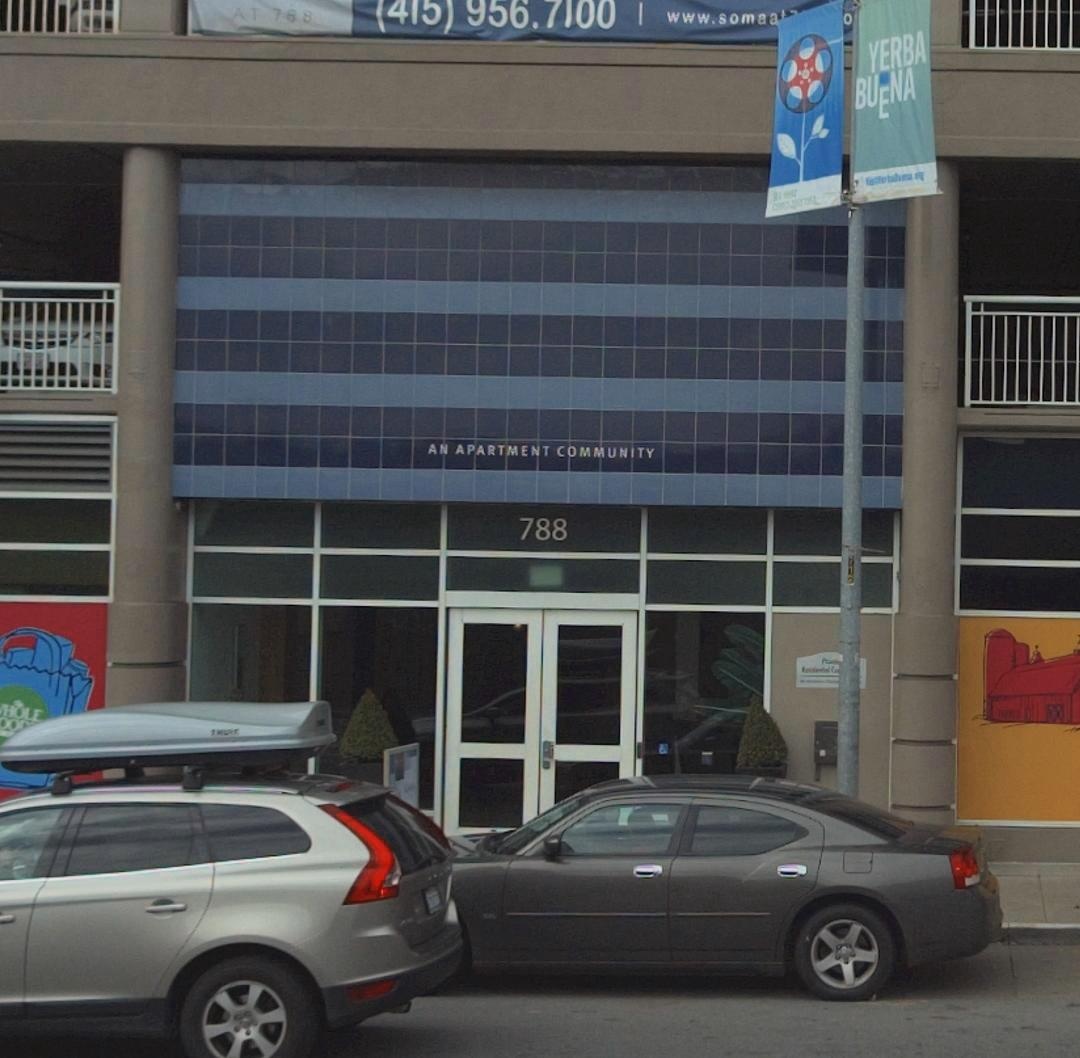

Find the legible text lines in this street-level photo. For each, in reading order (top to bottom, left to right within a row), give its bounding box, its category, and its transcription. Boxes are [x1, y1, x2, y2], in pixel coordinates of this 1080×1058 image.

[663, 8, 780, 28] None: www.somaa
[866, 25, 931, 76] None: YERBA
[852, 64, 920, 124] None: BU*NA
[425, 440, 658, 461] None: AN APARTMENT COMMUNITY
[516, 515, 570, 544] StreetNumber: 788
[0, 699, 47, 727] None: HOLE